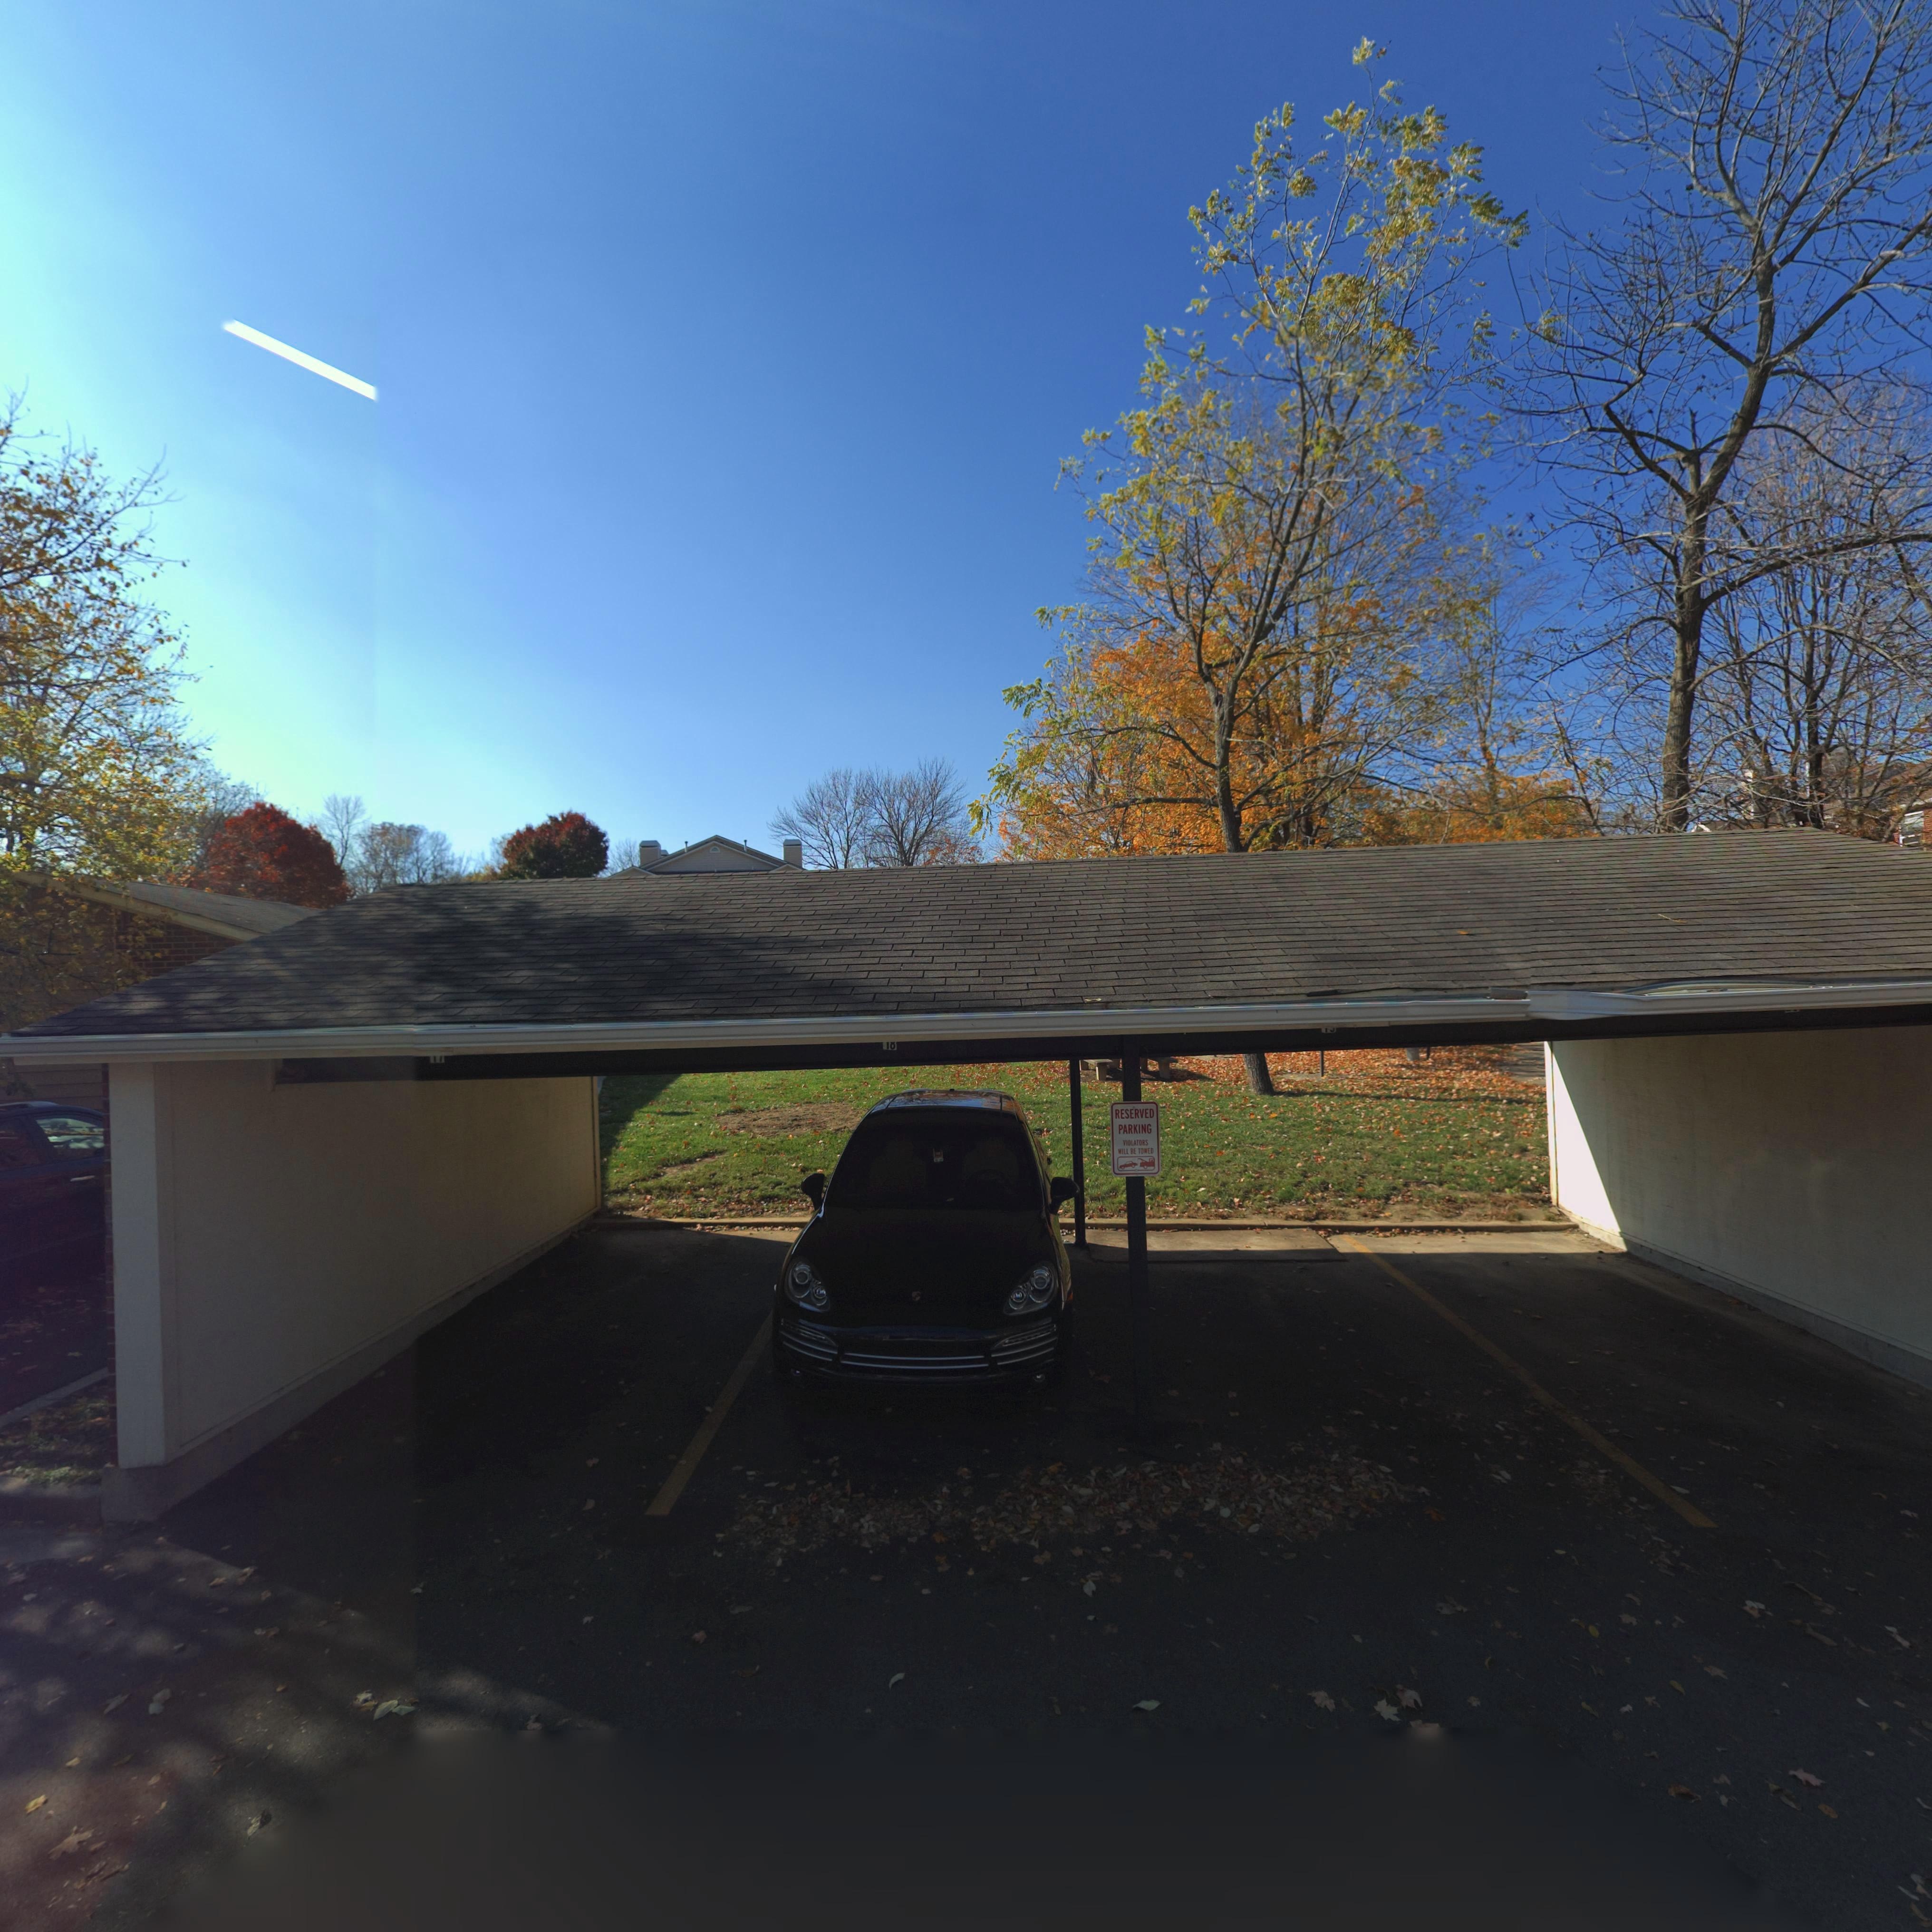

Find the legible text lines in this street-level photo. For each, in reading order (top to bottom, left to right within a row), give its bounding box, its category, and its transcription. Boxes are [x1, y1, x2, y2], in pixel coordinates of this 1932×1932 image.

[1114, 1107, 1156, 1120] None: RESERVED
[1118, 1122, 1153, 1135] None: PARKING
[1121, 1138, 1150, 1148] None: VIOLATORS
[1117, 1146, 1155, 1156] None: *ILL BE TO*ED